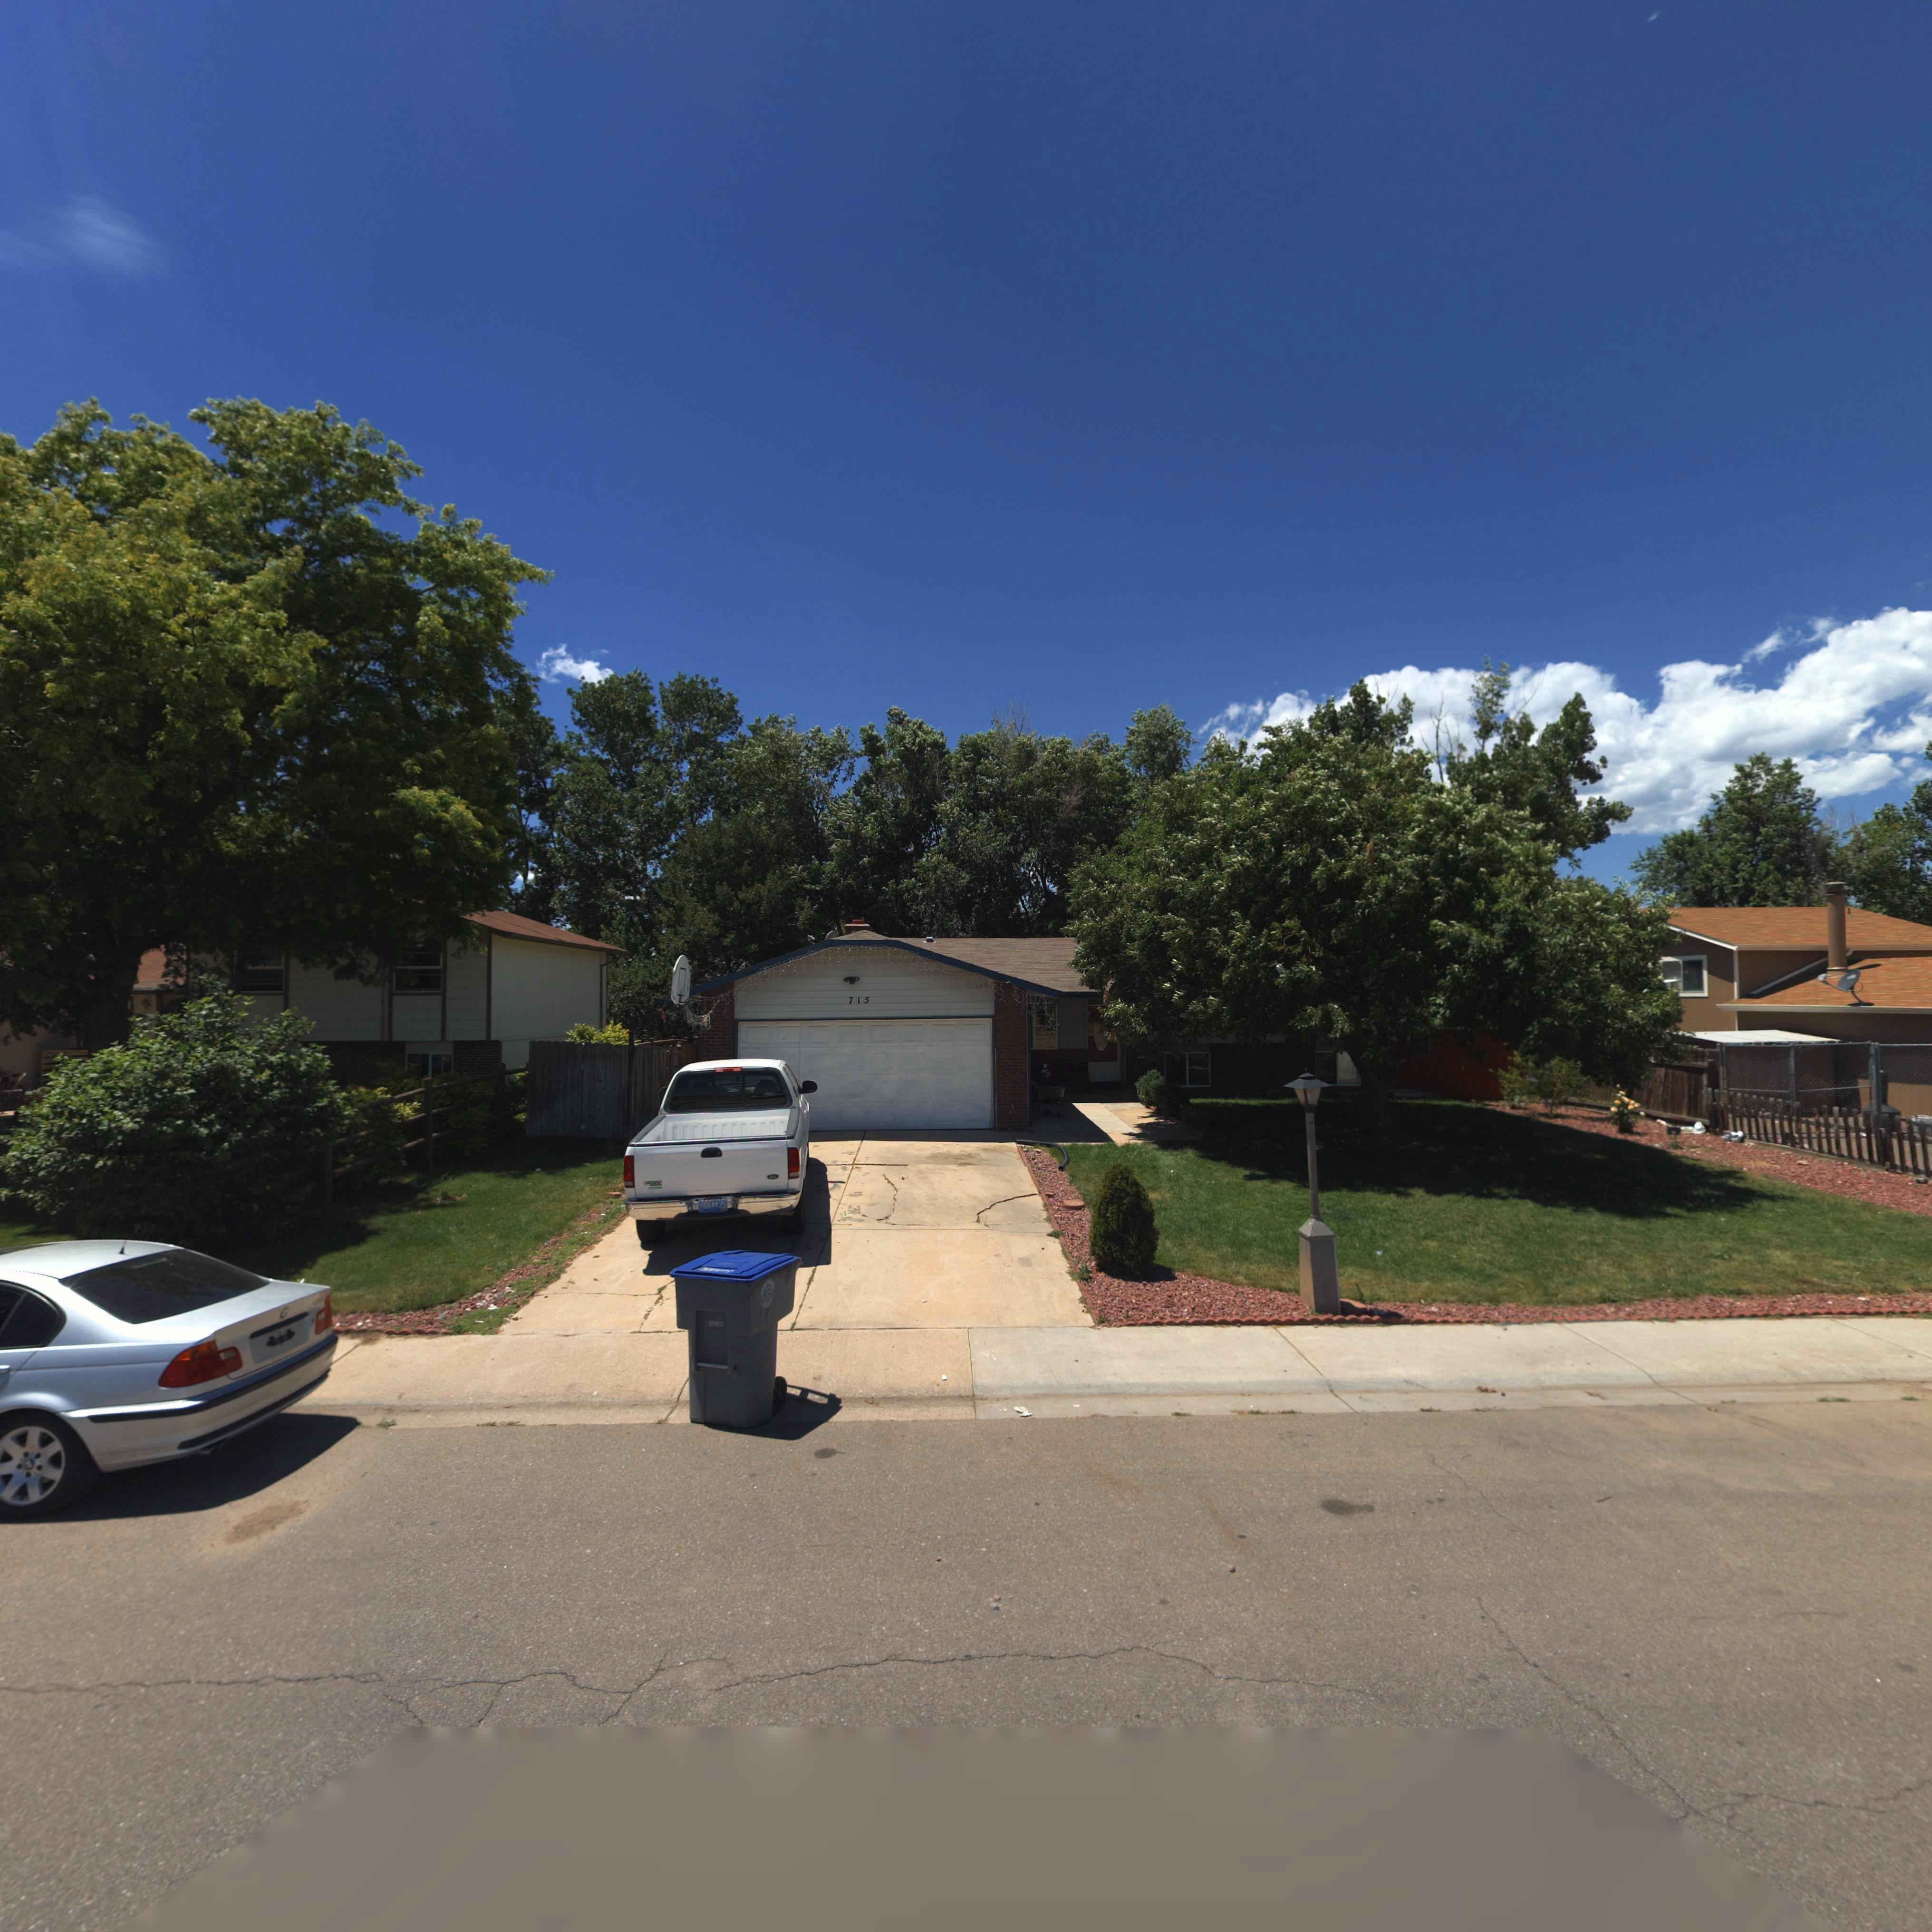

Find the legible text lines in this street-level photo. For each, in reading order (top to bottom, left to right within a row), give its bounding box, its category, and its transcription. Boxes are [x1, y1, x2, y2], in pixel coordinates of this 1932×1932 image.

[848, 996, 870, 1004] StreetNumber: 715